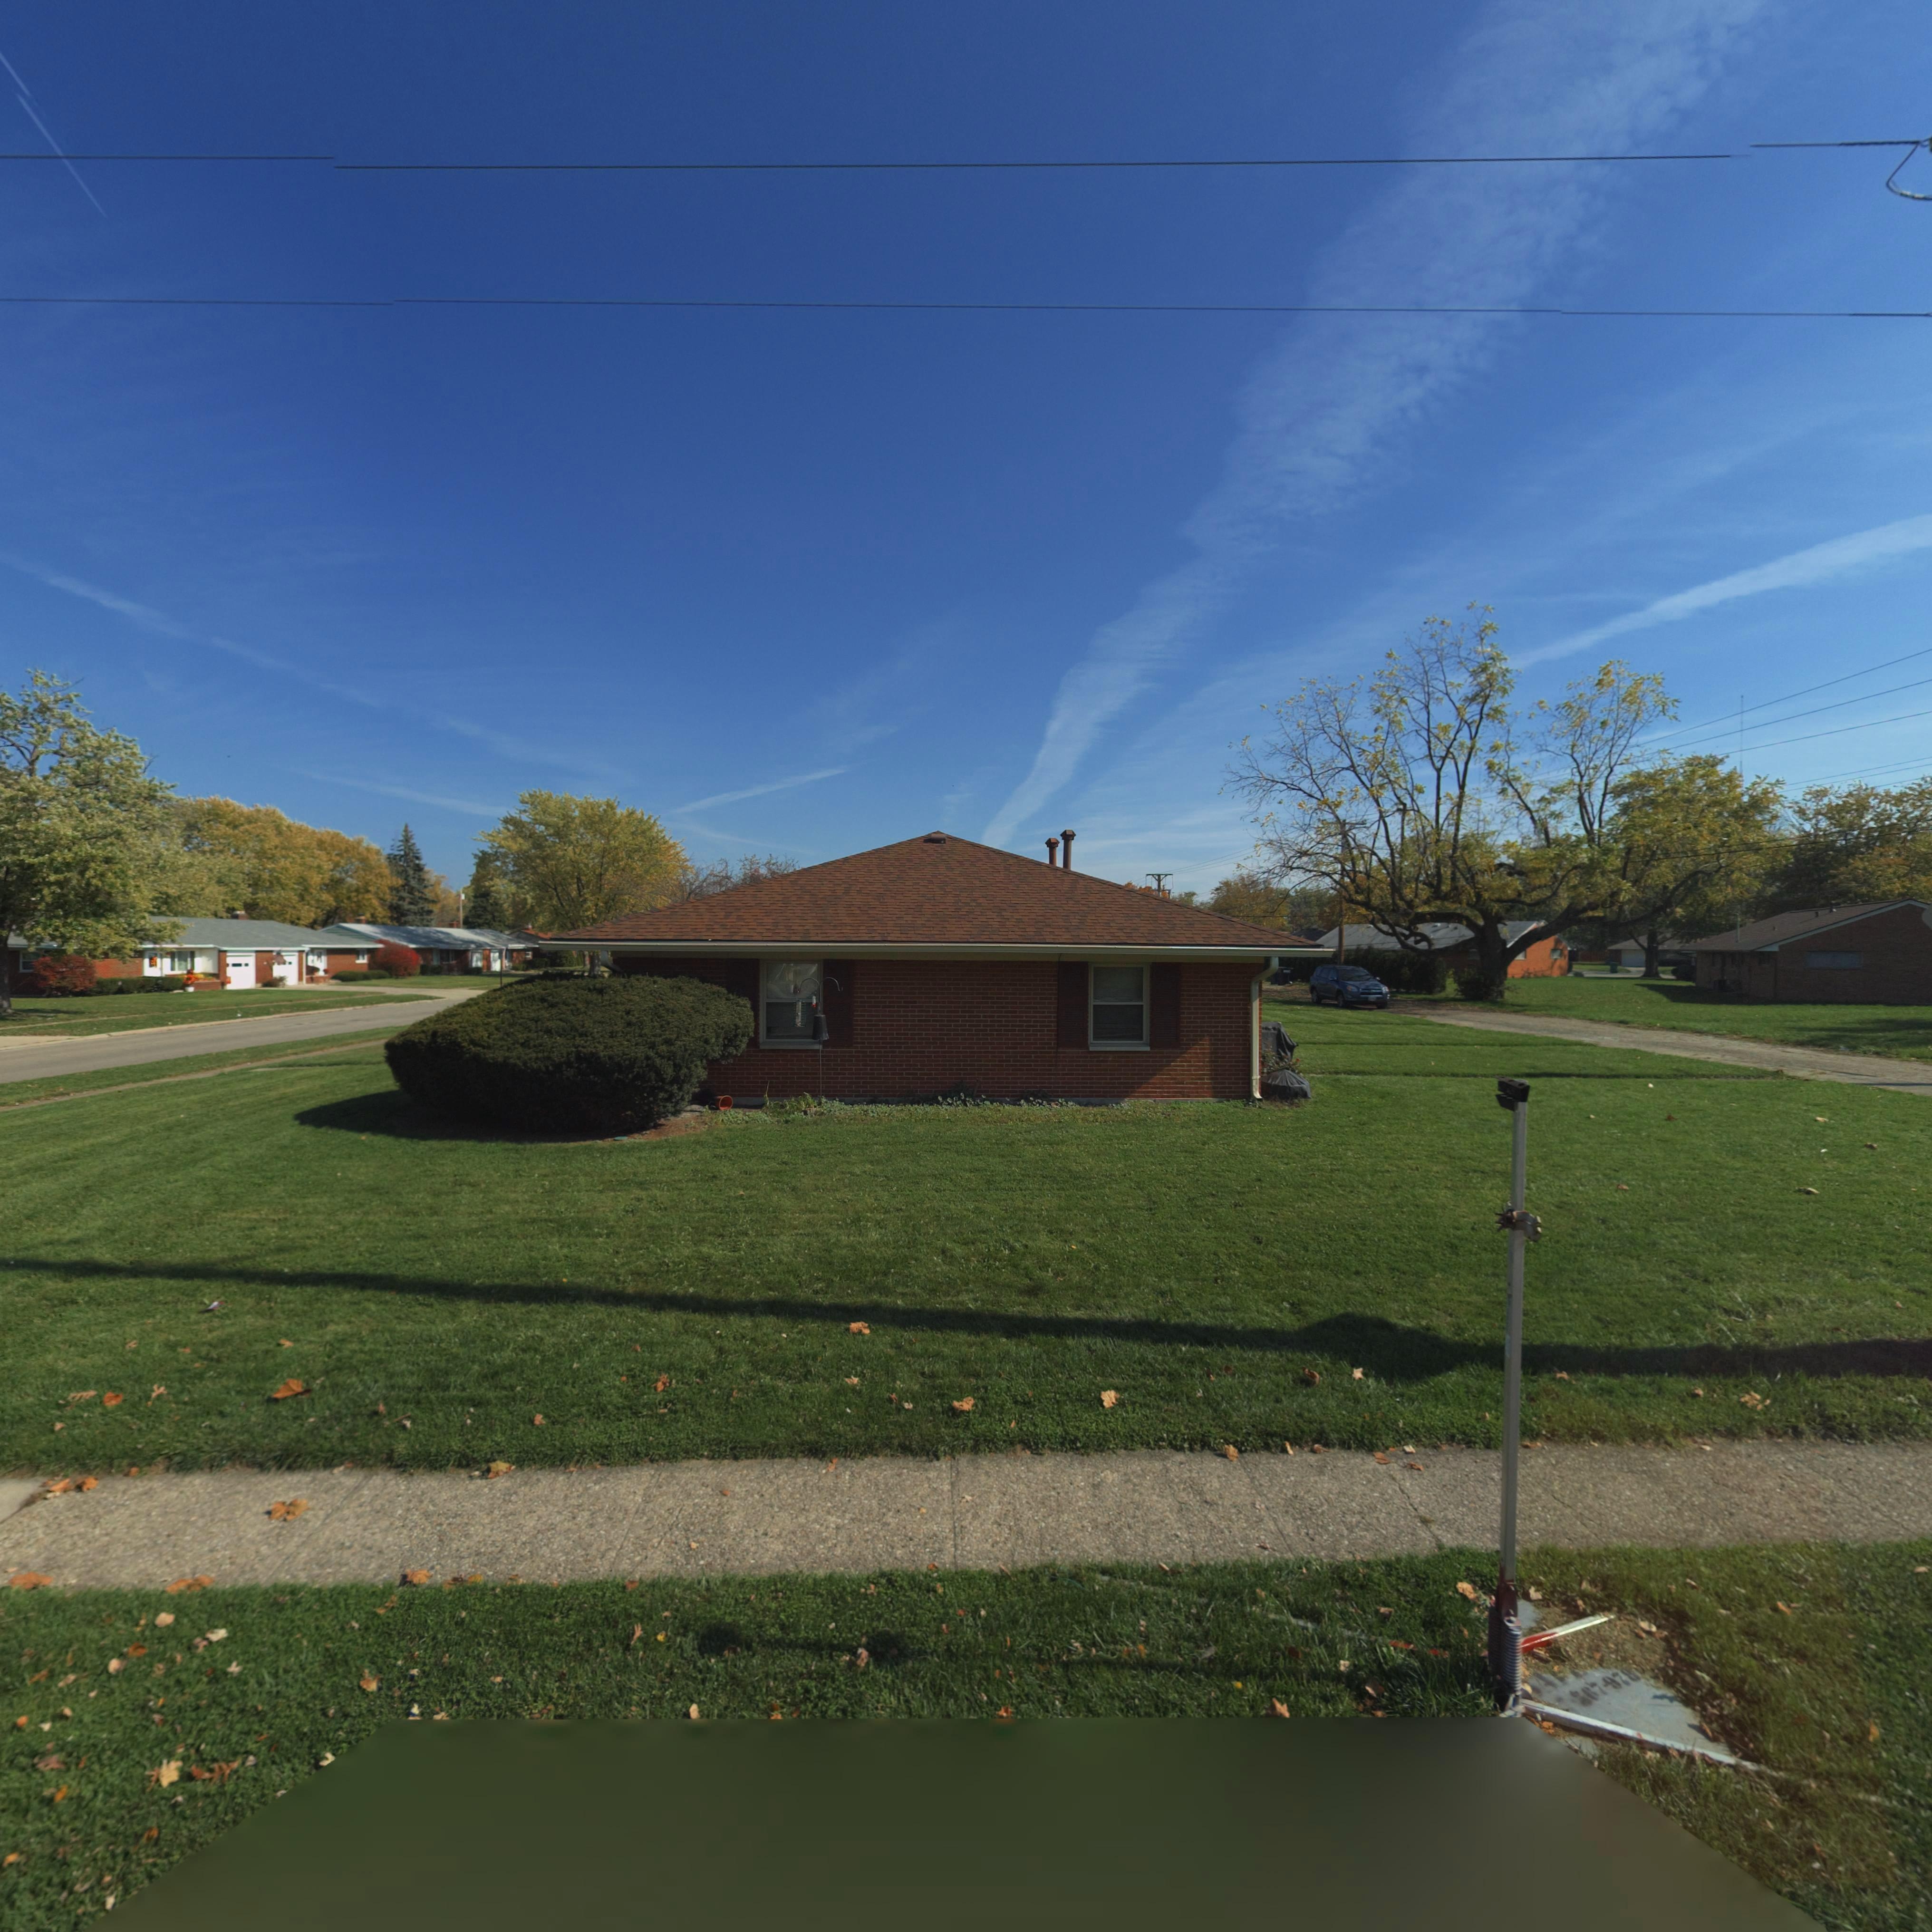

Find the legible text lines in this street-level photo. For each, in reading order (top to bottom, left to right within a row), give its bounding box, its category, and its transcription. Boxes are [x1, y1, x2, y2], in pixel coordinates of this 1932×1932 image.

[1578, 1665, 1643, 1702] None: 67-978